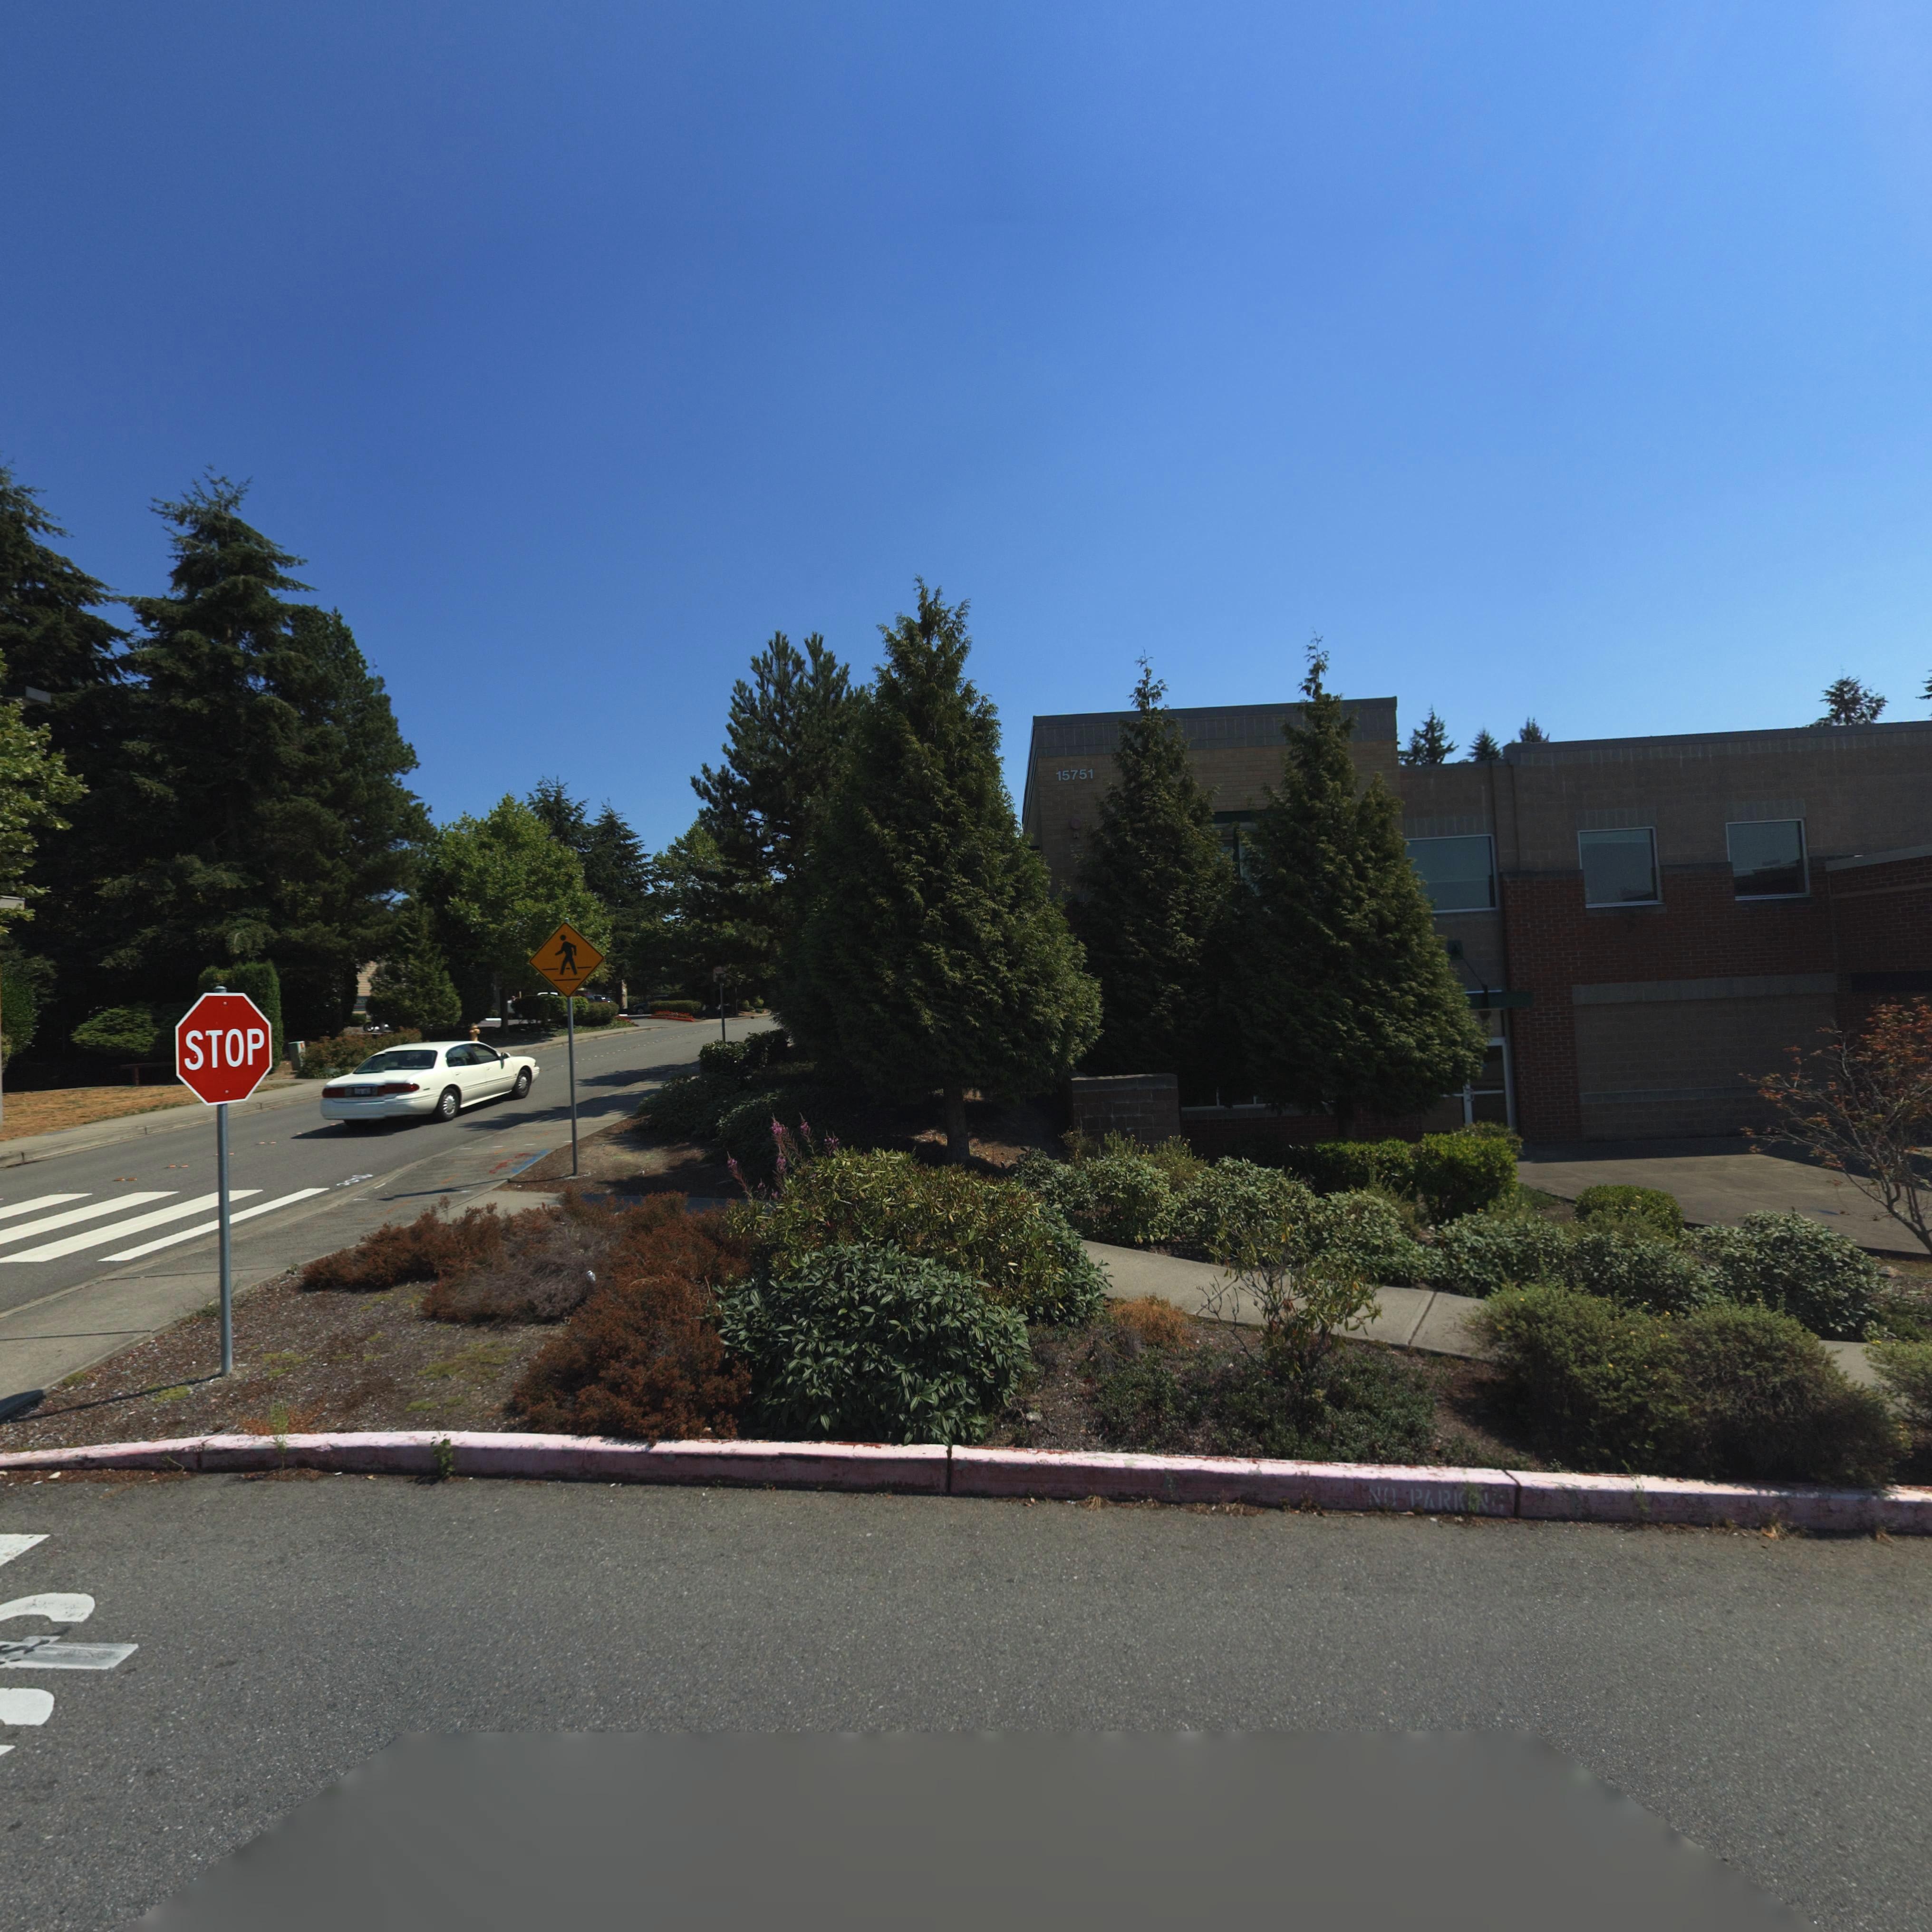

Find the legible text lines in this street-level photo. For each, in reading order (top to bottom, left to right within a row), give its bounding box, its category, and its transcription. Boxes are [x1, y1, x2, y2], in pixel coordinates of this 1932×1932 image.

[1055, 767, 1094, 781] StreetNumber: 15751